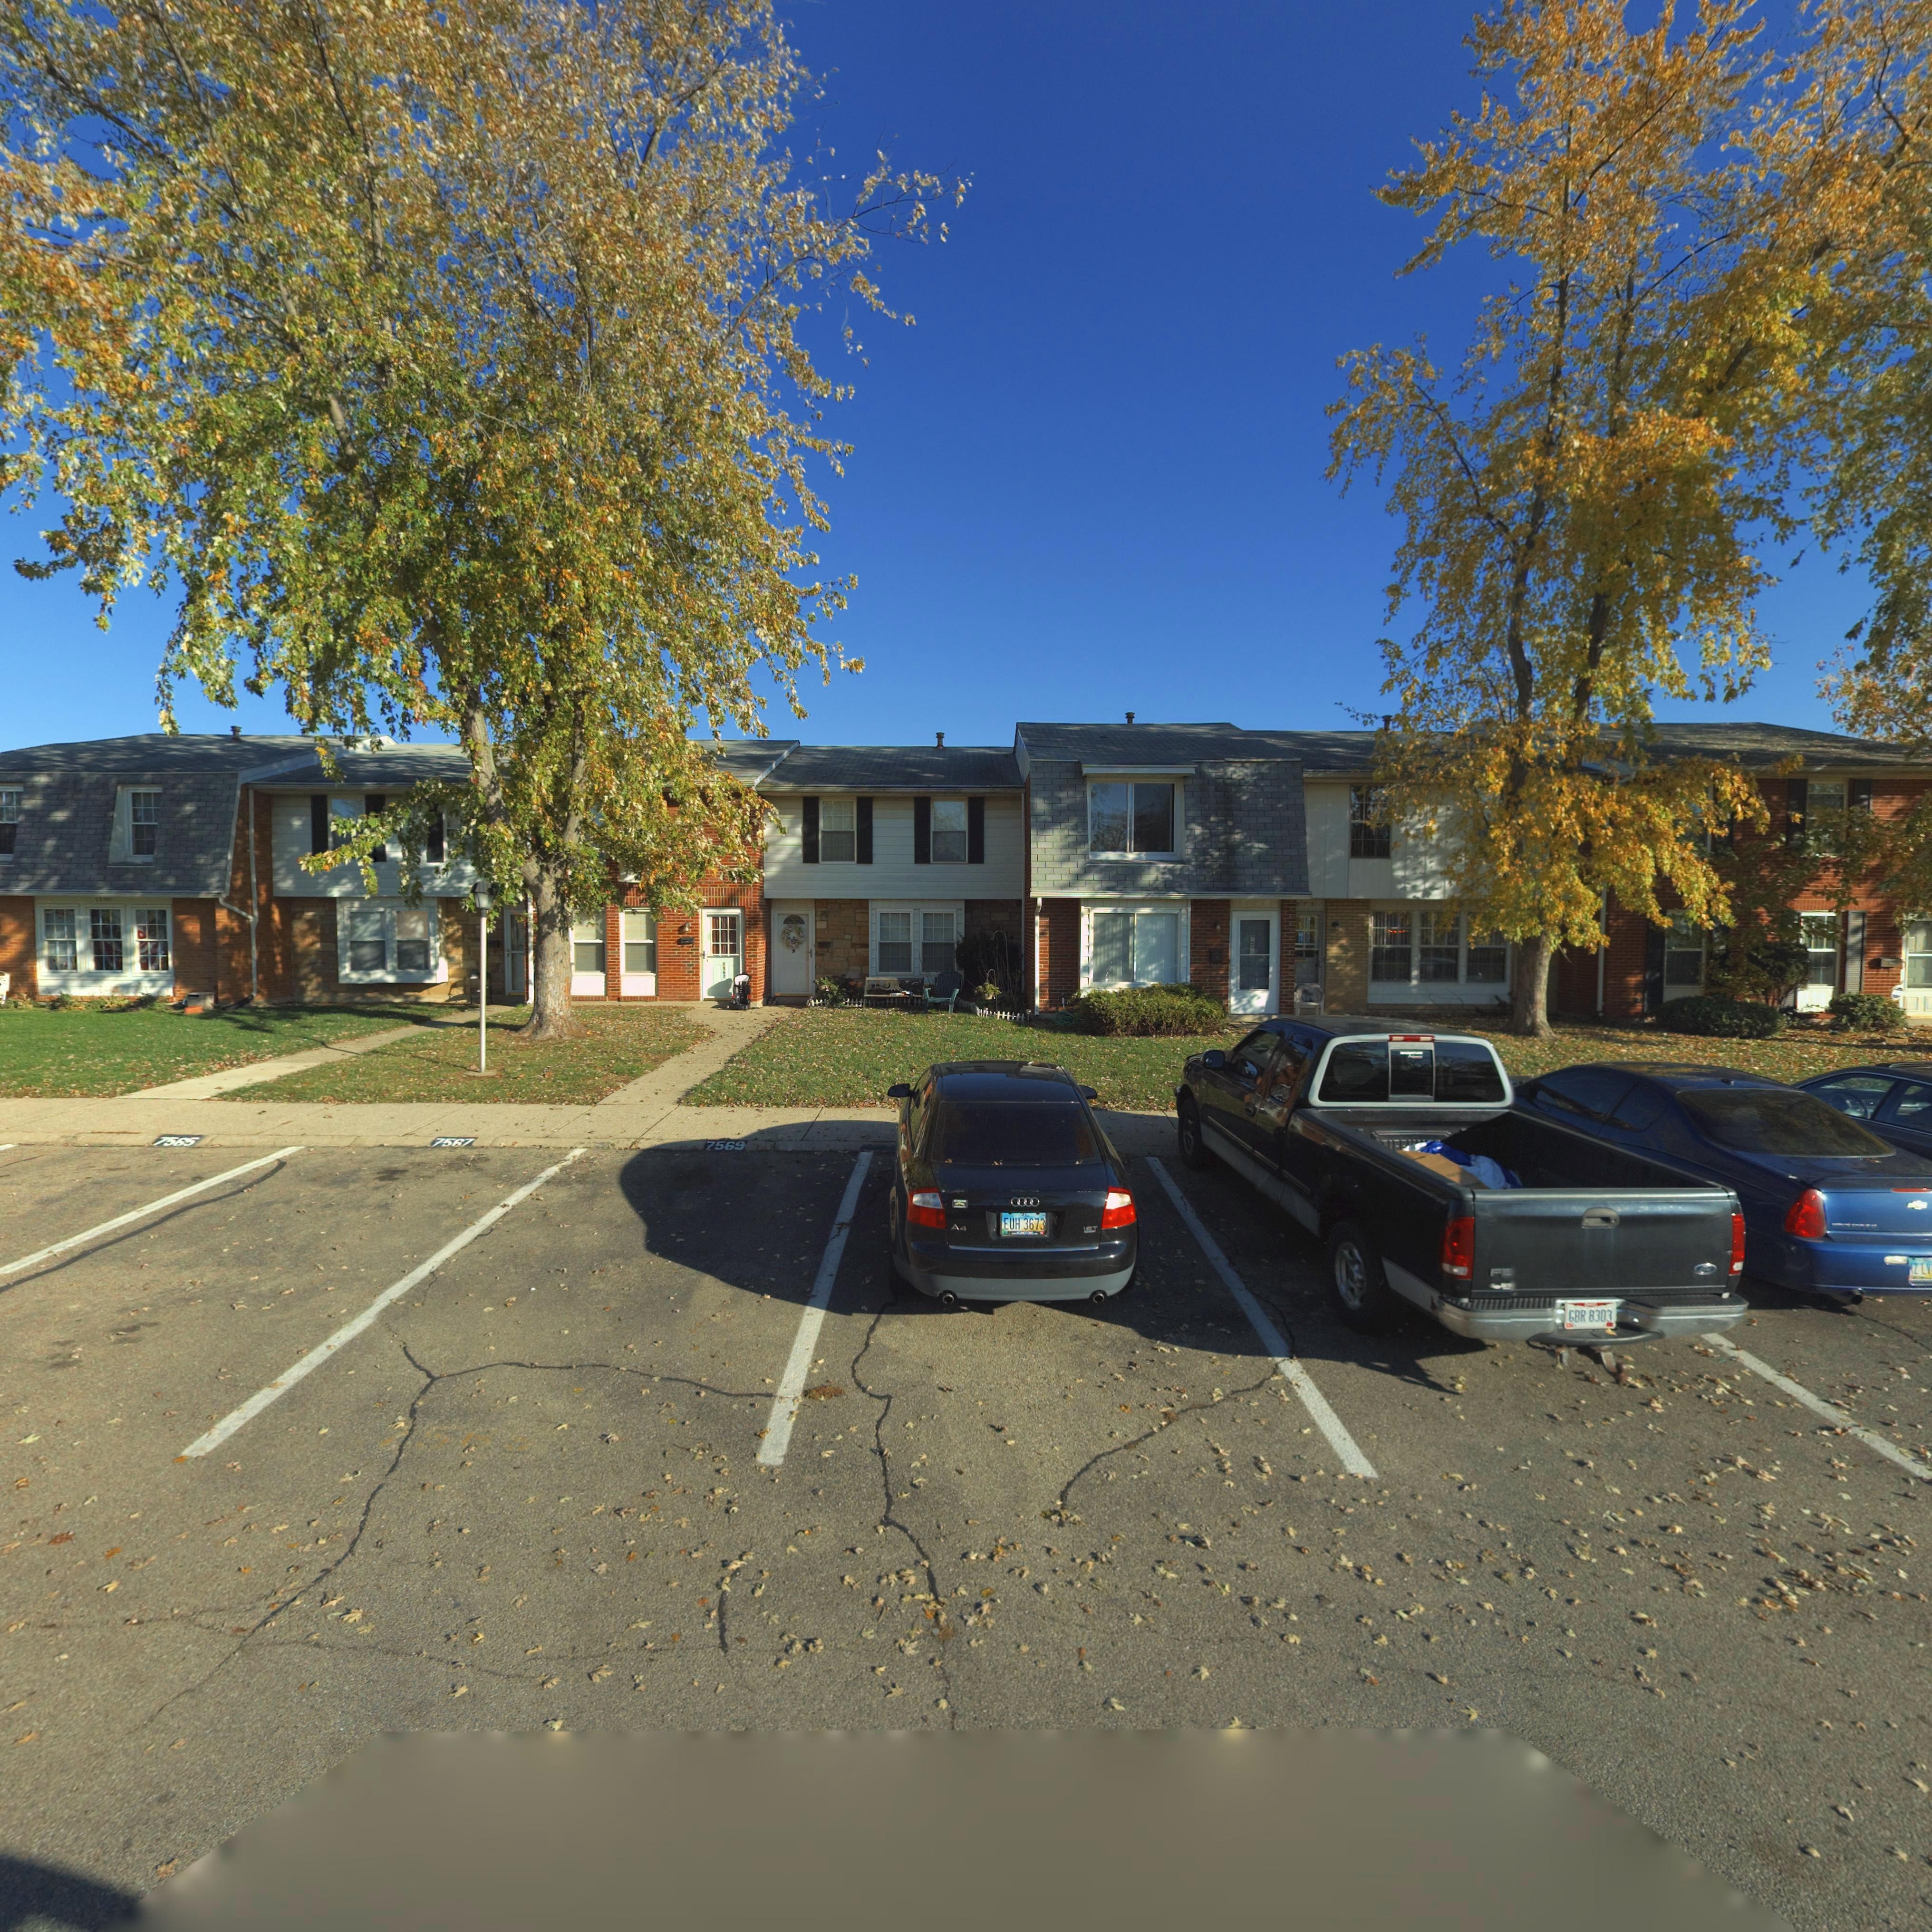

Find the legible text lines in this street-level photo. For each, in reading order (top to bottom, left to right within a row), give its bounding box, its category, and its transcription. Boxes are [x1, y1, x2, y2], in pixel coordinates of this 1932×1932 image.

[94, 897, 112, 902] StreetNumber: **63
[1302, 901, 1314, 907] StreetNumber: 73
[1249, 935, 1255, 955] StreetNumber: 7571
[722, 962, 726, 978] StreetNumber: 7567
[150, 1136, 201, 1147] StreetNumber: 7565
[430, 1137, 476, 1148] StreetNumber: 7567
[705, 1140, 746, 1150] StreetNumber: 7569